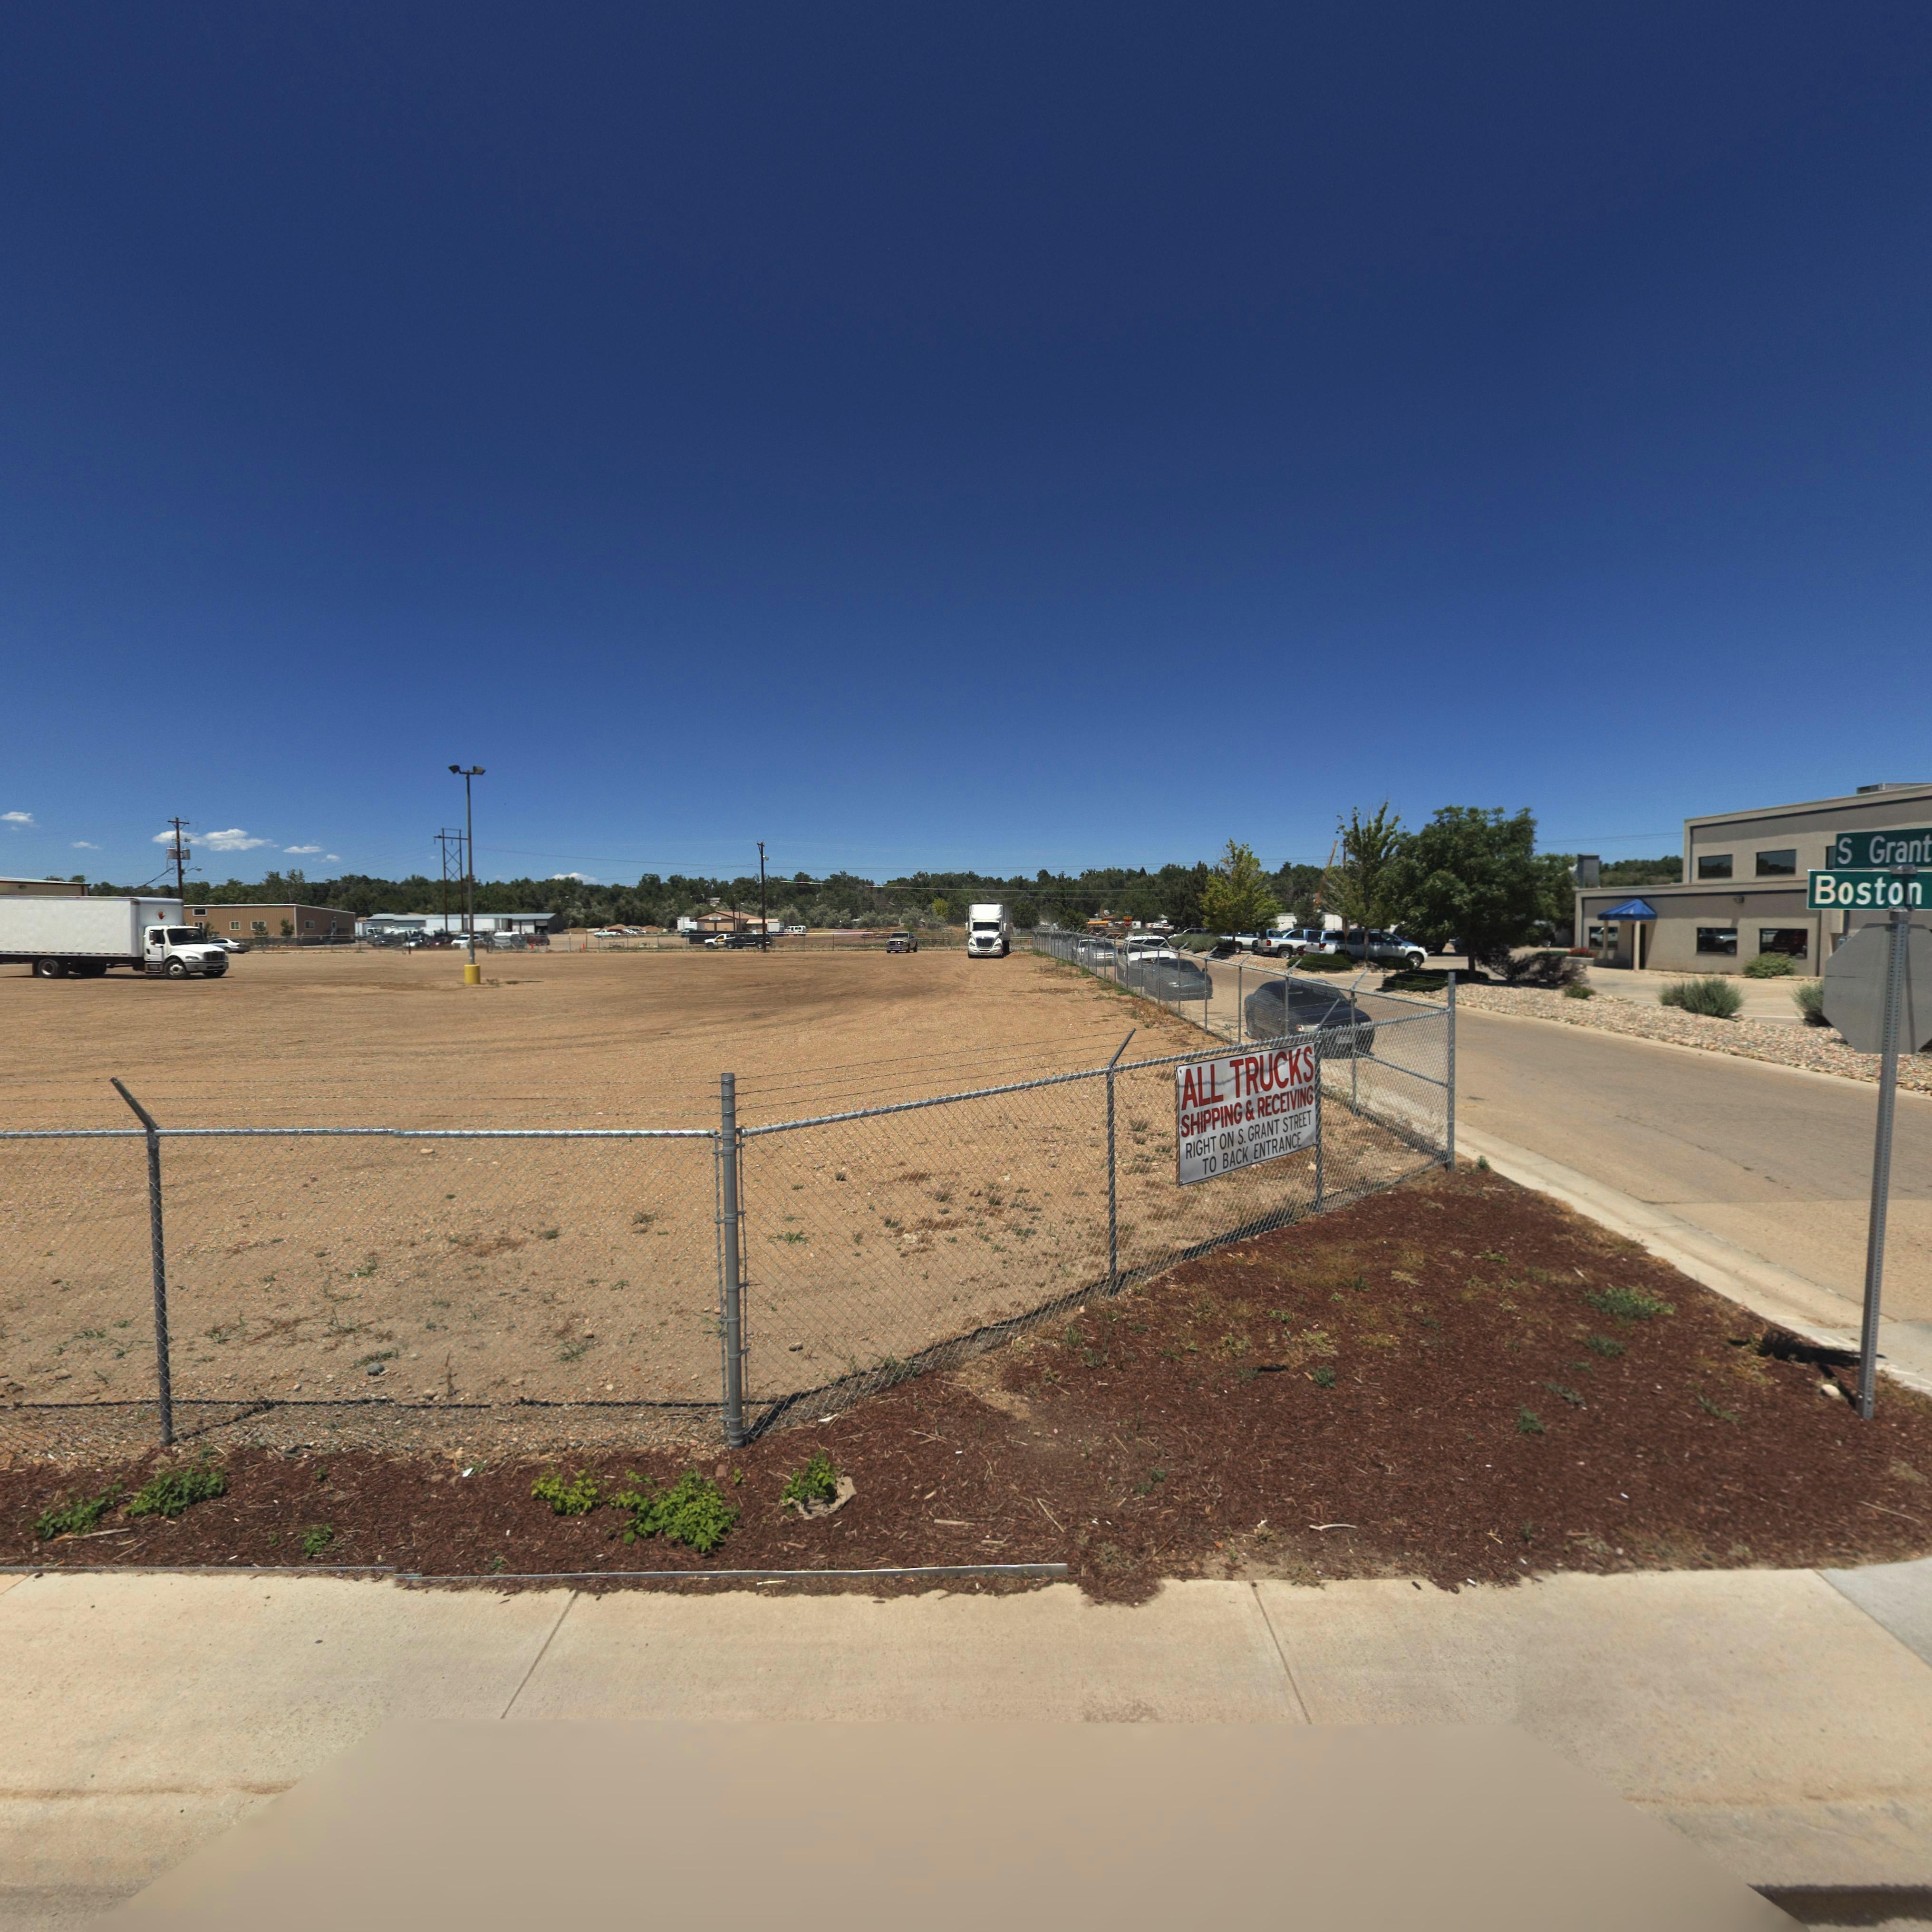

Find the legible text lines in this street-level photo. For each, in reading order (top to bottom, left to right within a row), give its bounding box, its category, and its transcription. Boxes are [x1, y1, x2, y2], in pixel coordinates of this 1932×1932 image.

[1836, 835, 1922, 865] StreetName: S Gran
[1814, 874, 1922, 906] StreetName: Boston